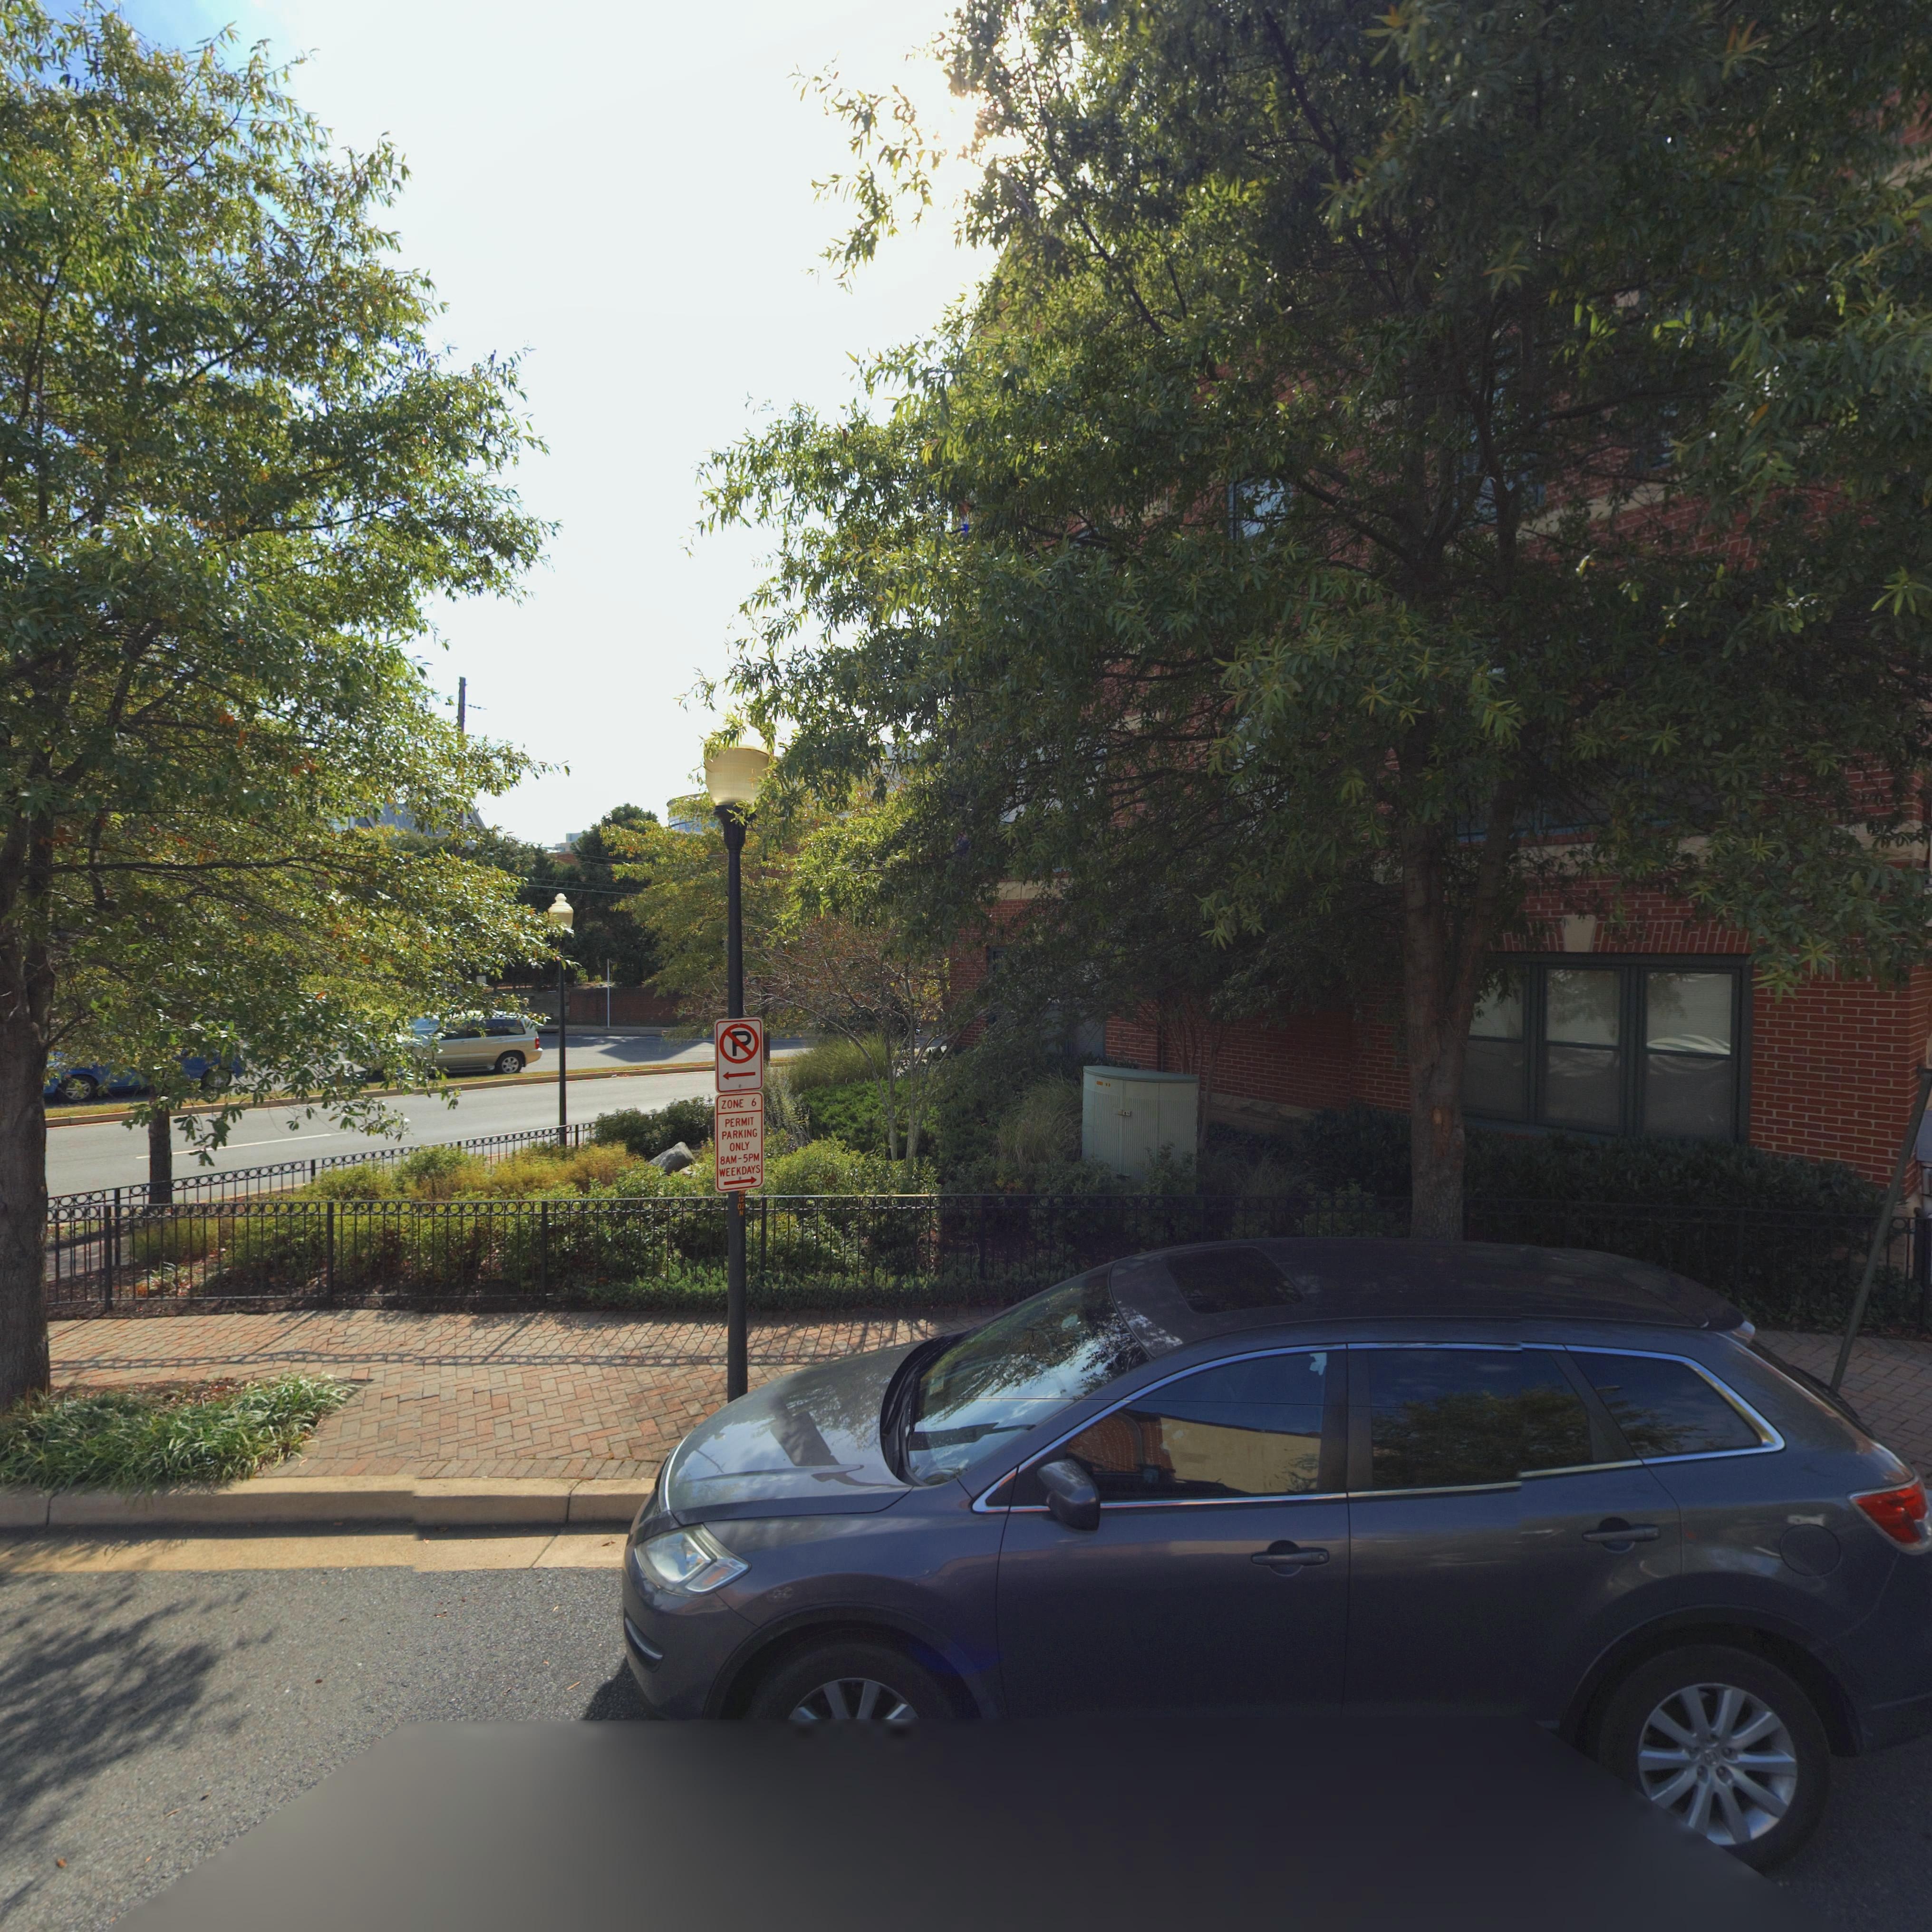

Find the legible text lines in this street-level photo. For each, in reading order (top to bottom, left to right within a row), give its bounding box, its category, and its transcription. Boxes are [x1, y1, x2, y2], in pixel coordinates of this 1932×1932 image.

[721, 1097, 757, 1110] None: ZONE 6
[724, 1116, 754, 1128] None: PERMIT
[721, 1128, 758, 1141] None: PARKING
[729, 1141, 751, 1151] None: ONLY
[720, 1152, 760, 1166] None: 8AM-5PM
[718, 1164, 761, 1178] None: WEEKDAYS
[738, 1195, 744, 1203] None: 12
[737, 1202, 745, 1210] None: 02
[739, 1209, 744, 1217] None: N